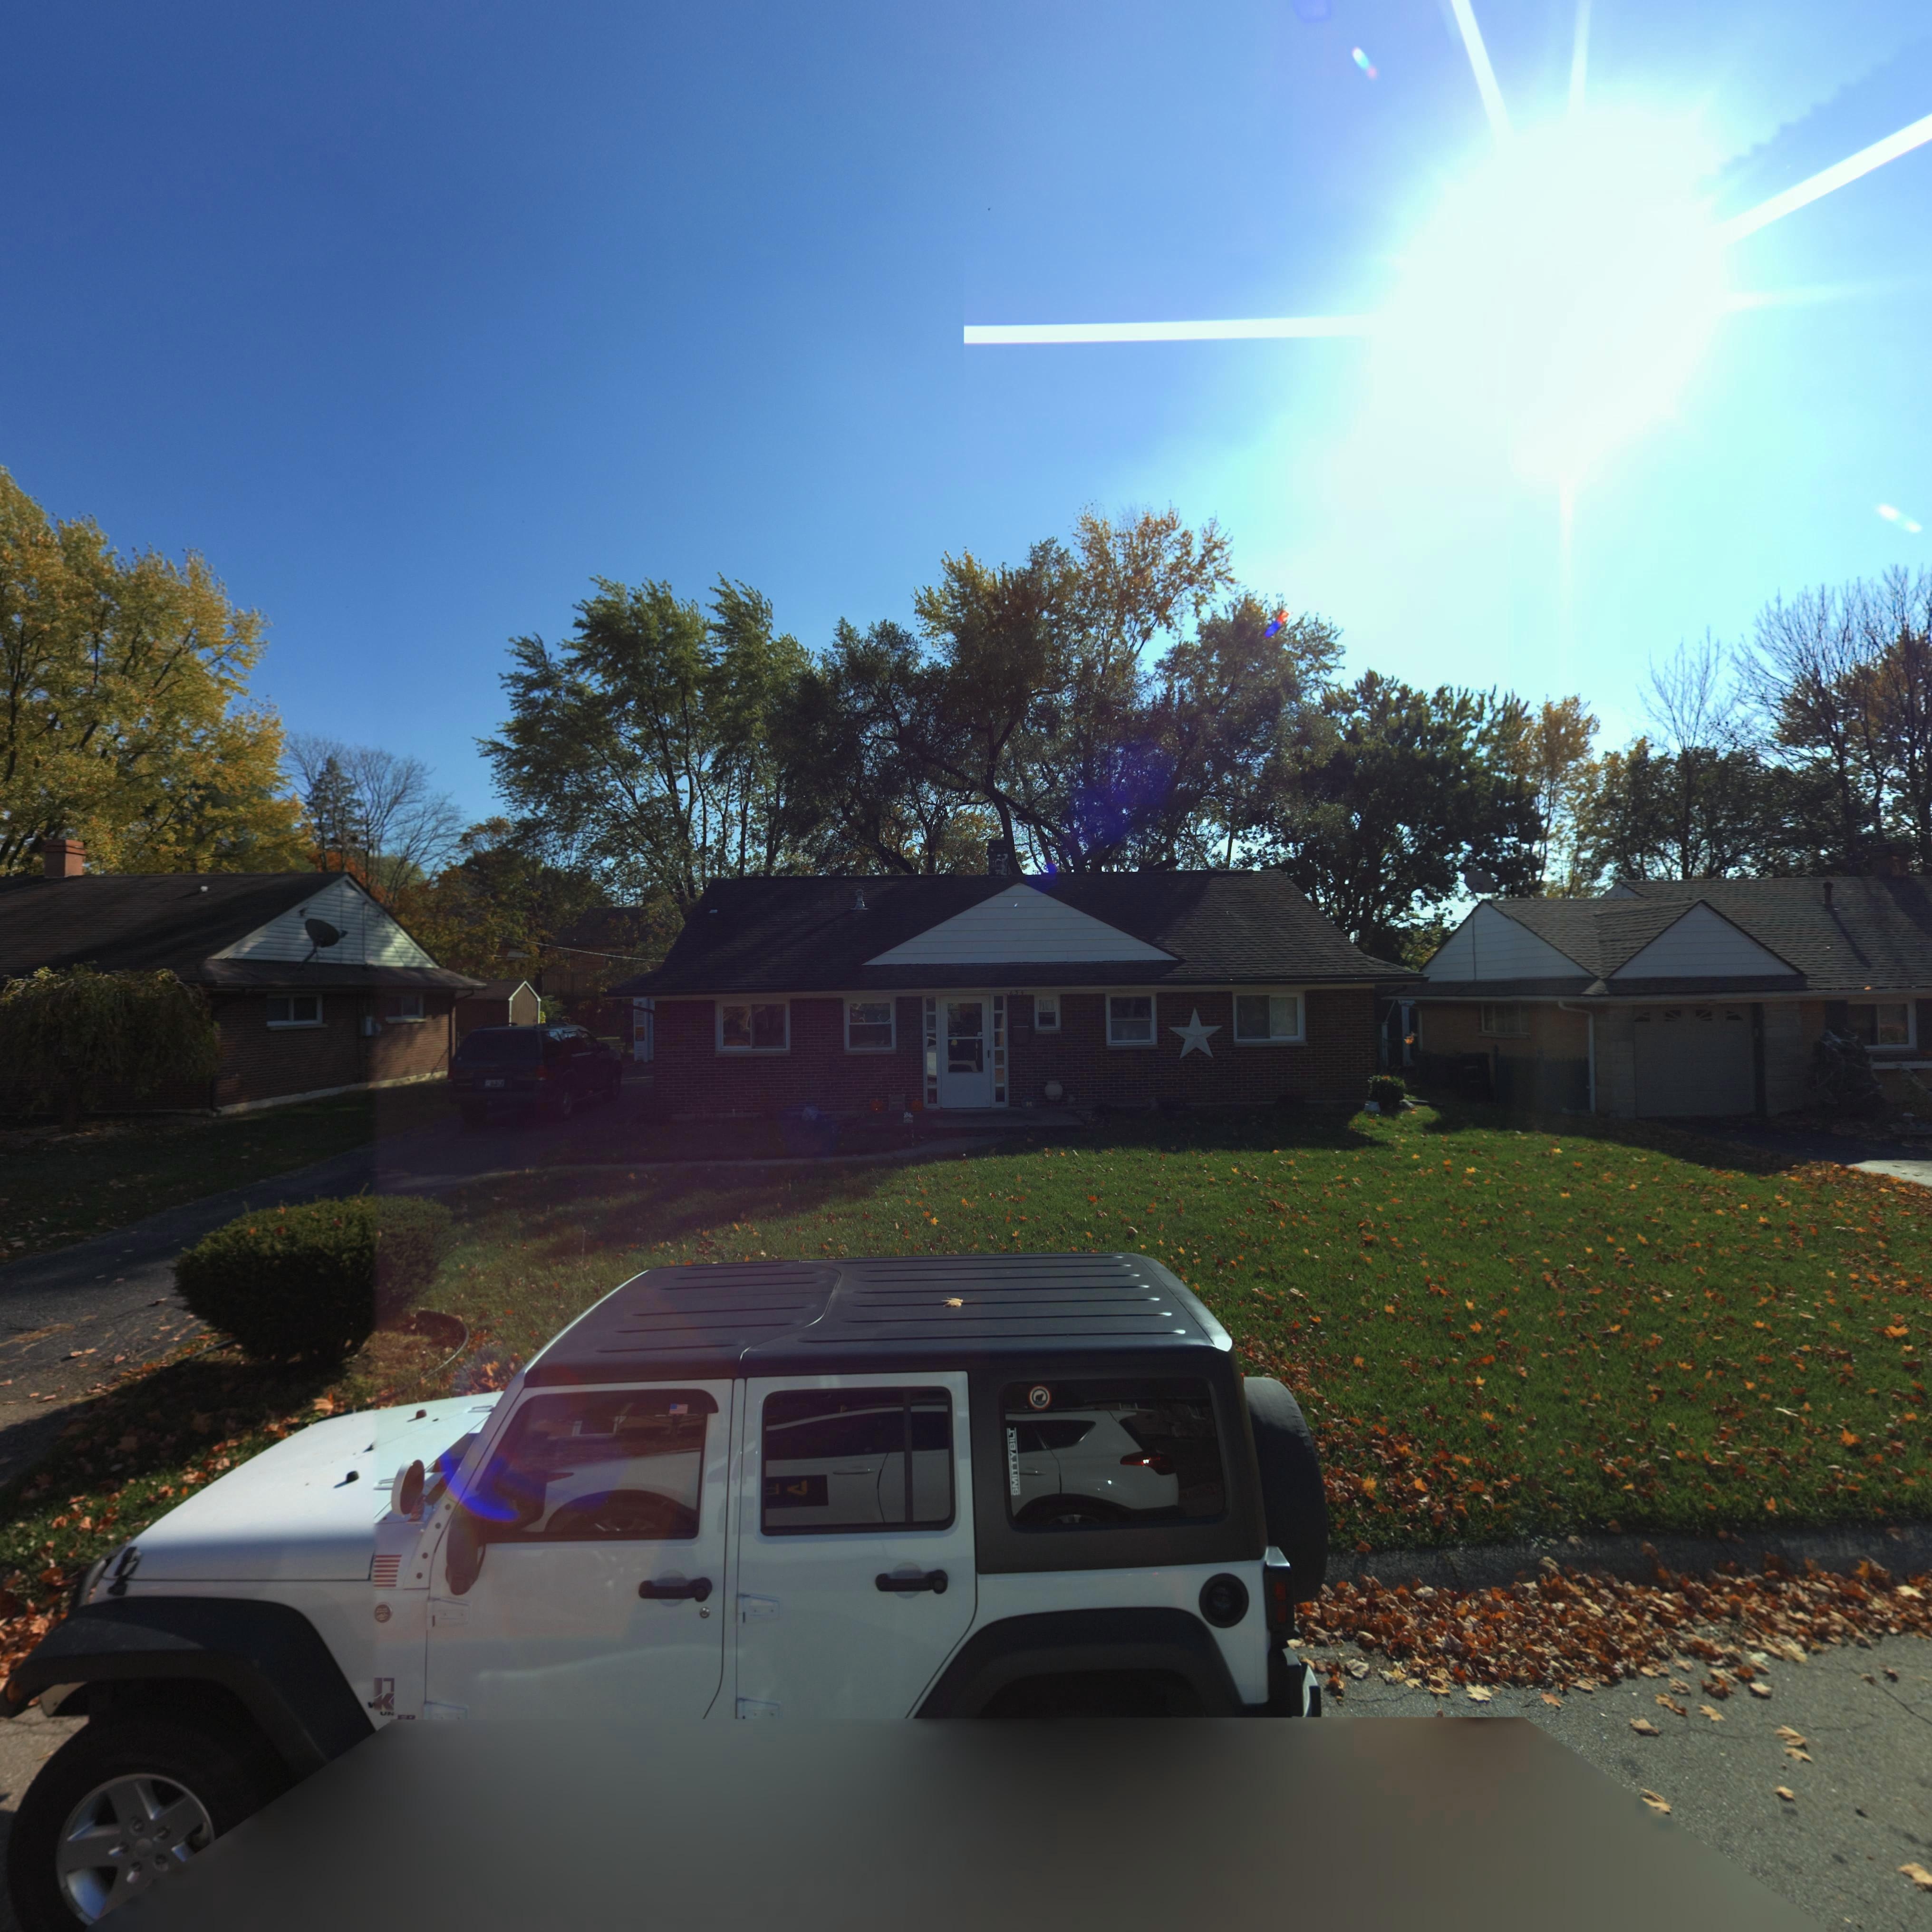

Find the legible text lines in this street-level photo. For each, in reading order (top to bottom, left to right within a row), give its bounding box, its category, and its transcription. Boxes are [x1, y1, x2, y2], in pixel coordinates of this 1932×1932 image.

[1008, 989, 1024, 996] StreetNumber: 634